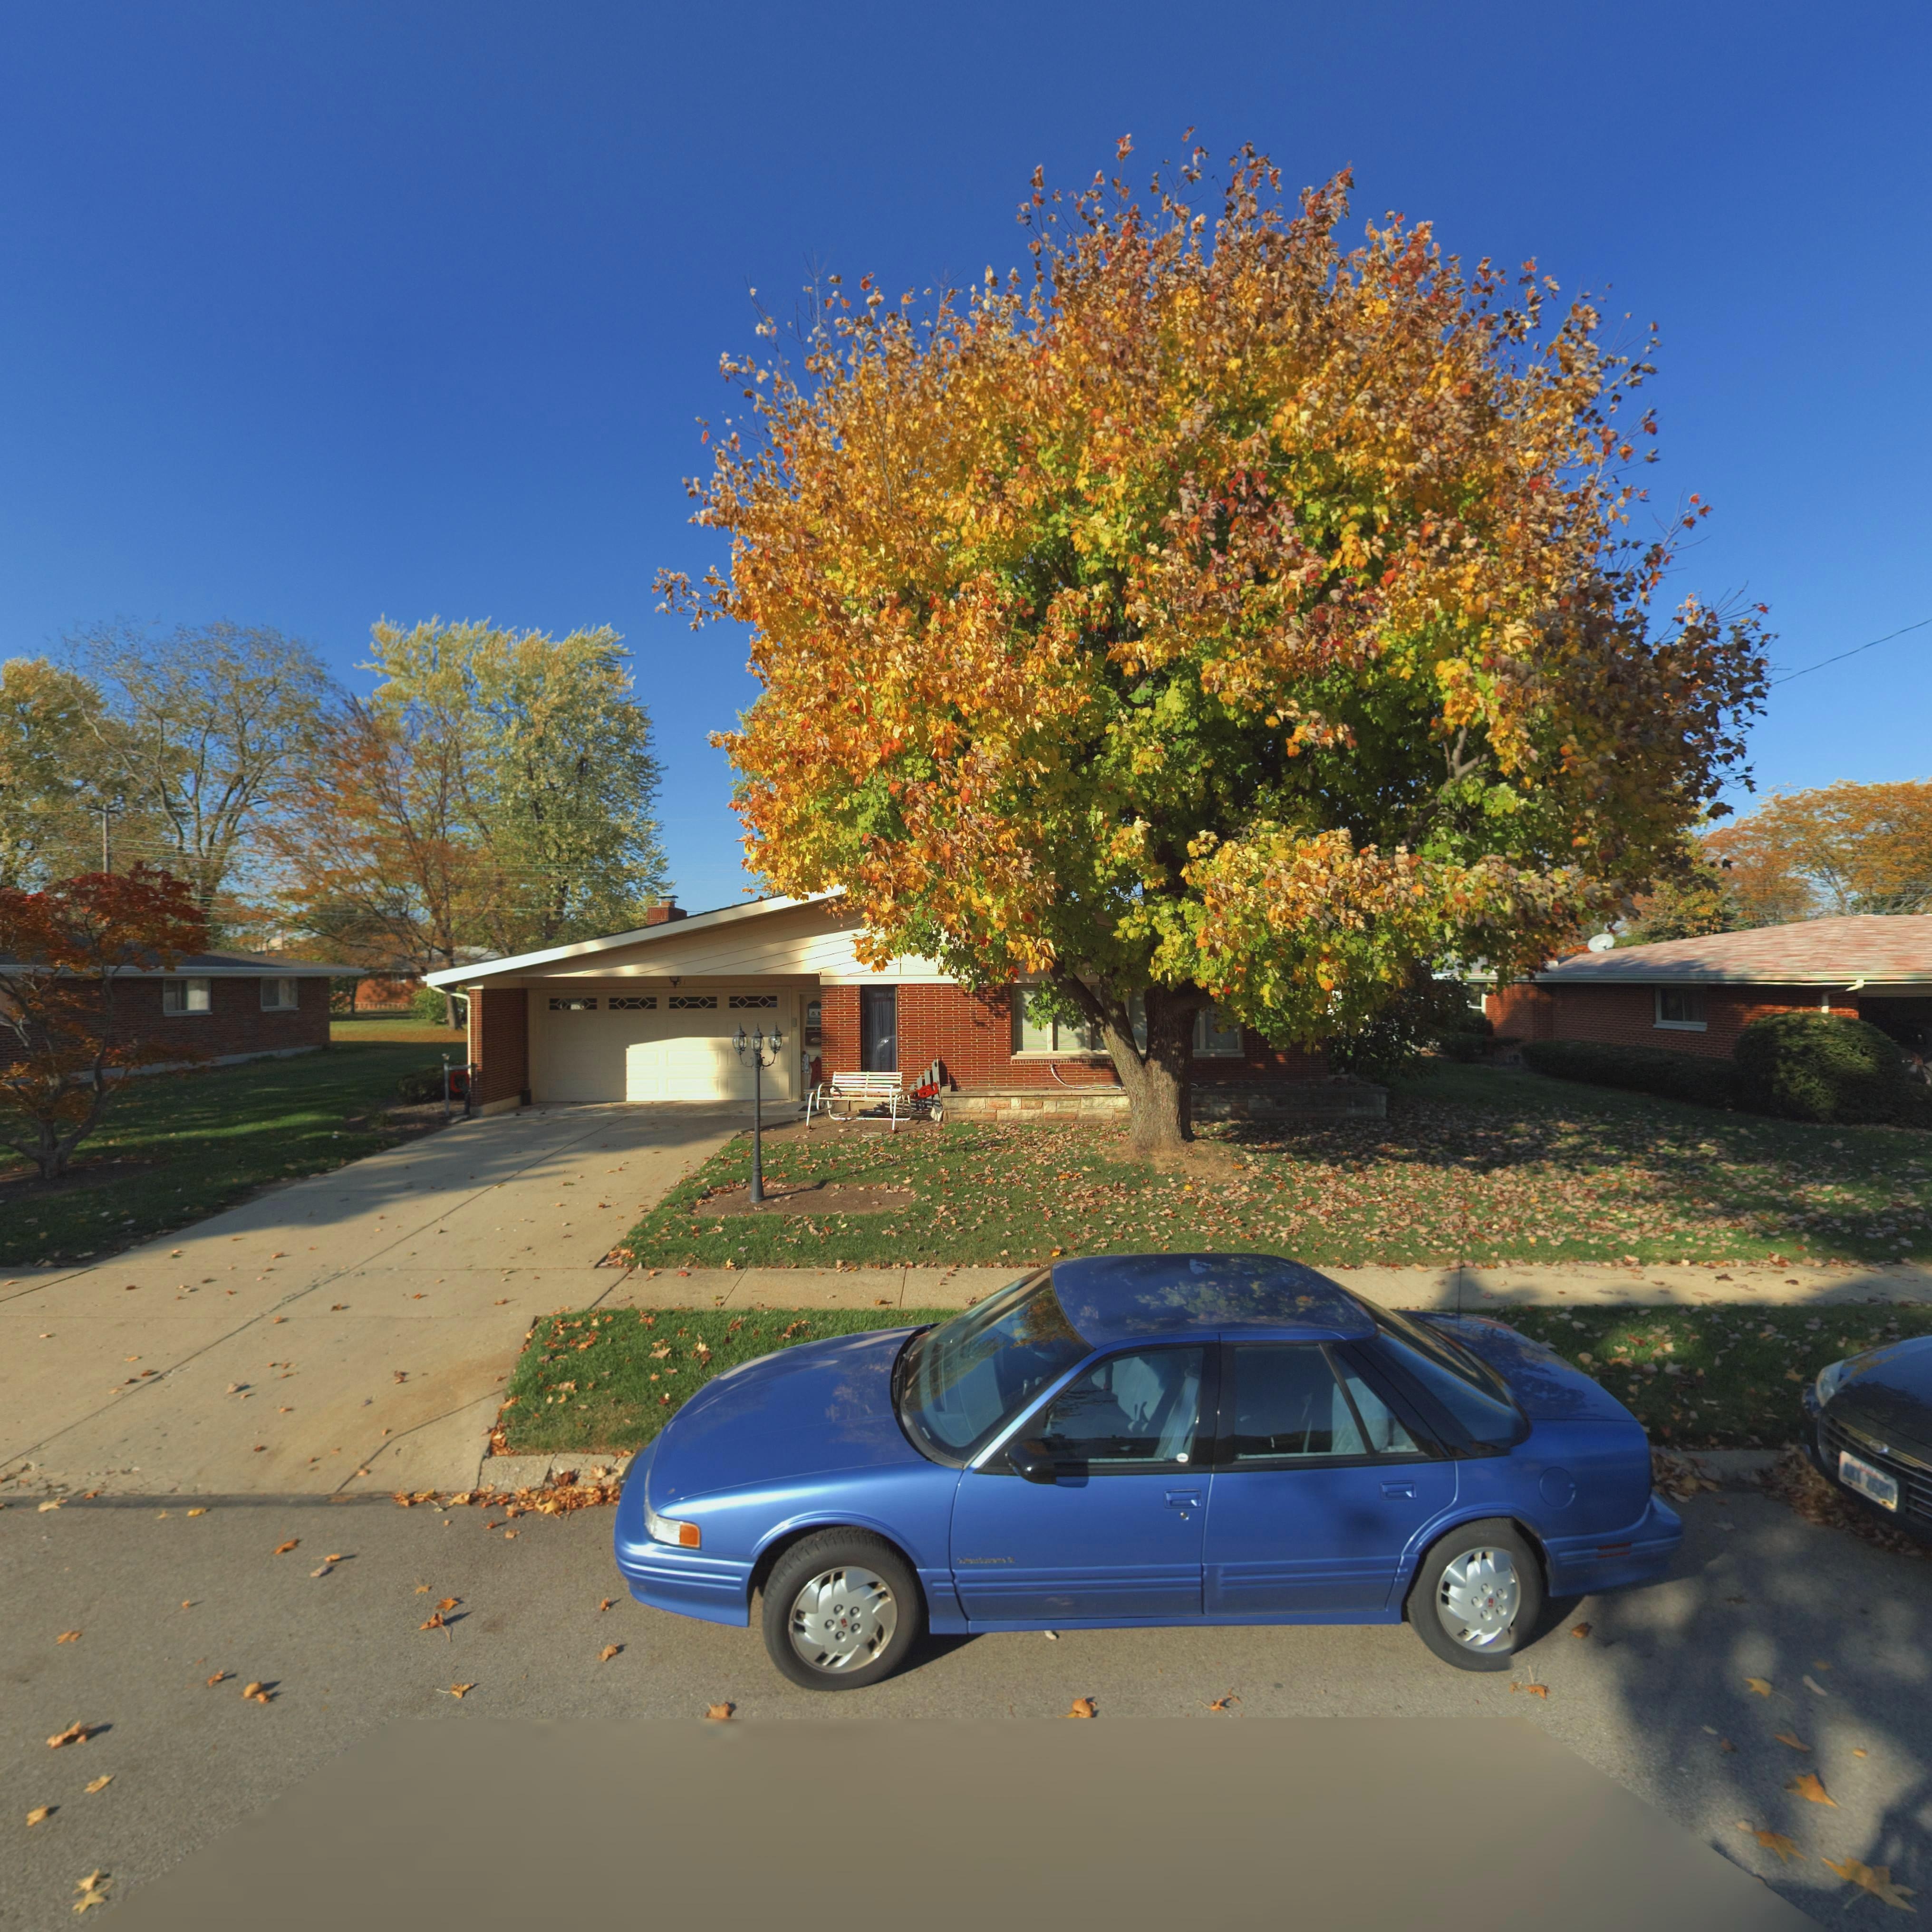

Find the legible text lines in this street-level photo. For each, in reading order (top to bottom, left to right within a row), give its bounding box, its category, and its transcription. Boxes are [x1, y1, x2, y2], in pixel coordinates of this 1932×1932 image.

[681, 978, 686, 985] StreetNumber: 1